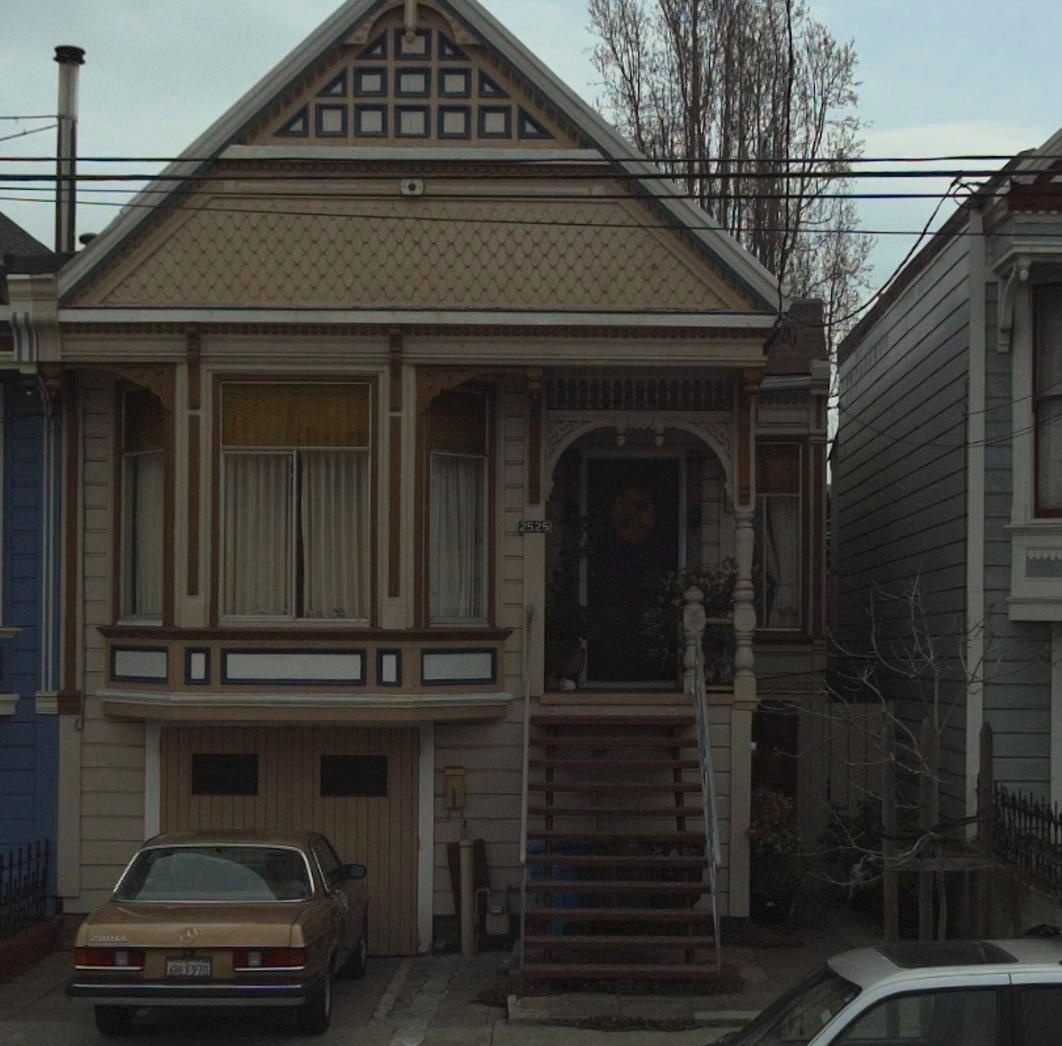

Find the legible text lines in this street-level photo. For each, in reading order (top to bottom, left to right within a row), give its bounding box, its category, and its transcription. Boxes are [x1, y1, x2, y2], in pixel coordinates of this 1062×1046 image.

[519, 521, 550, 533] StreetNumber: 2525
[168, 963, 209, 976] None: 6**F970